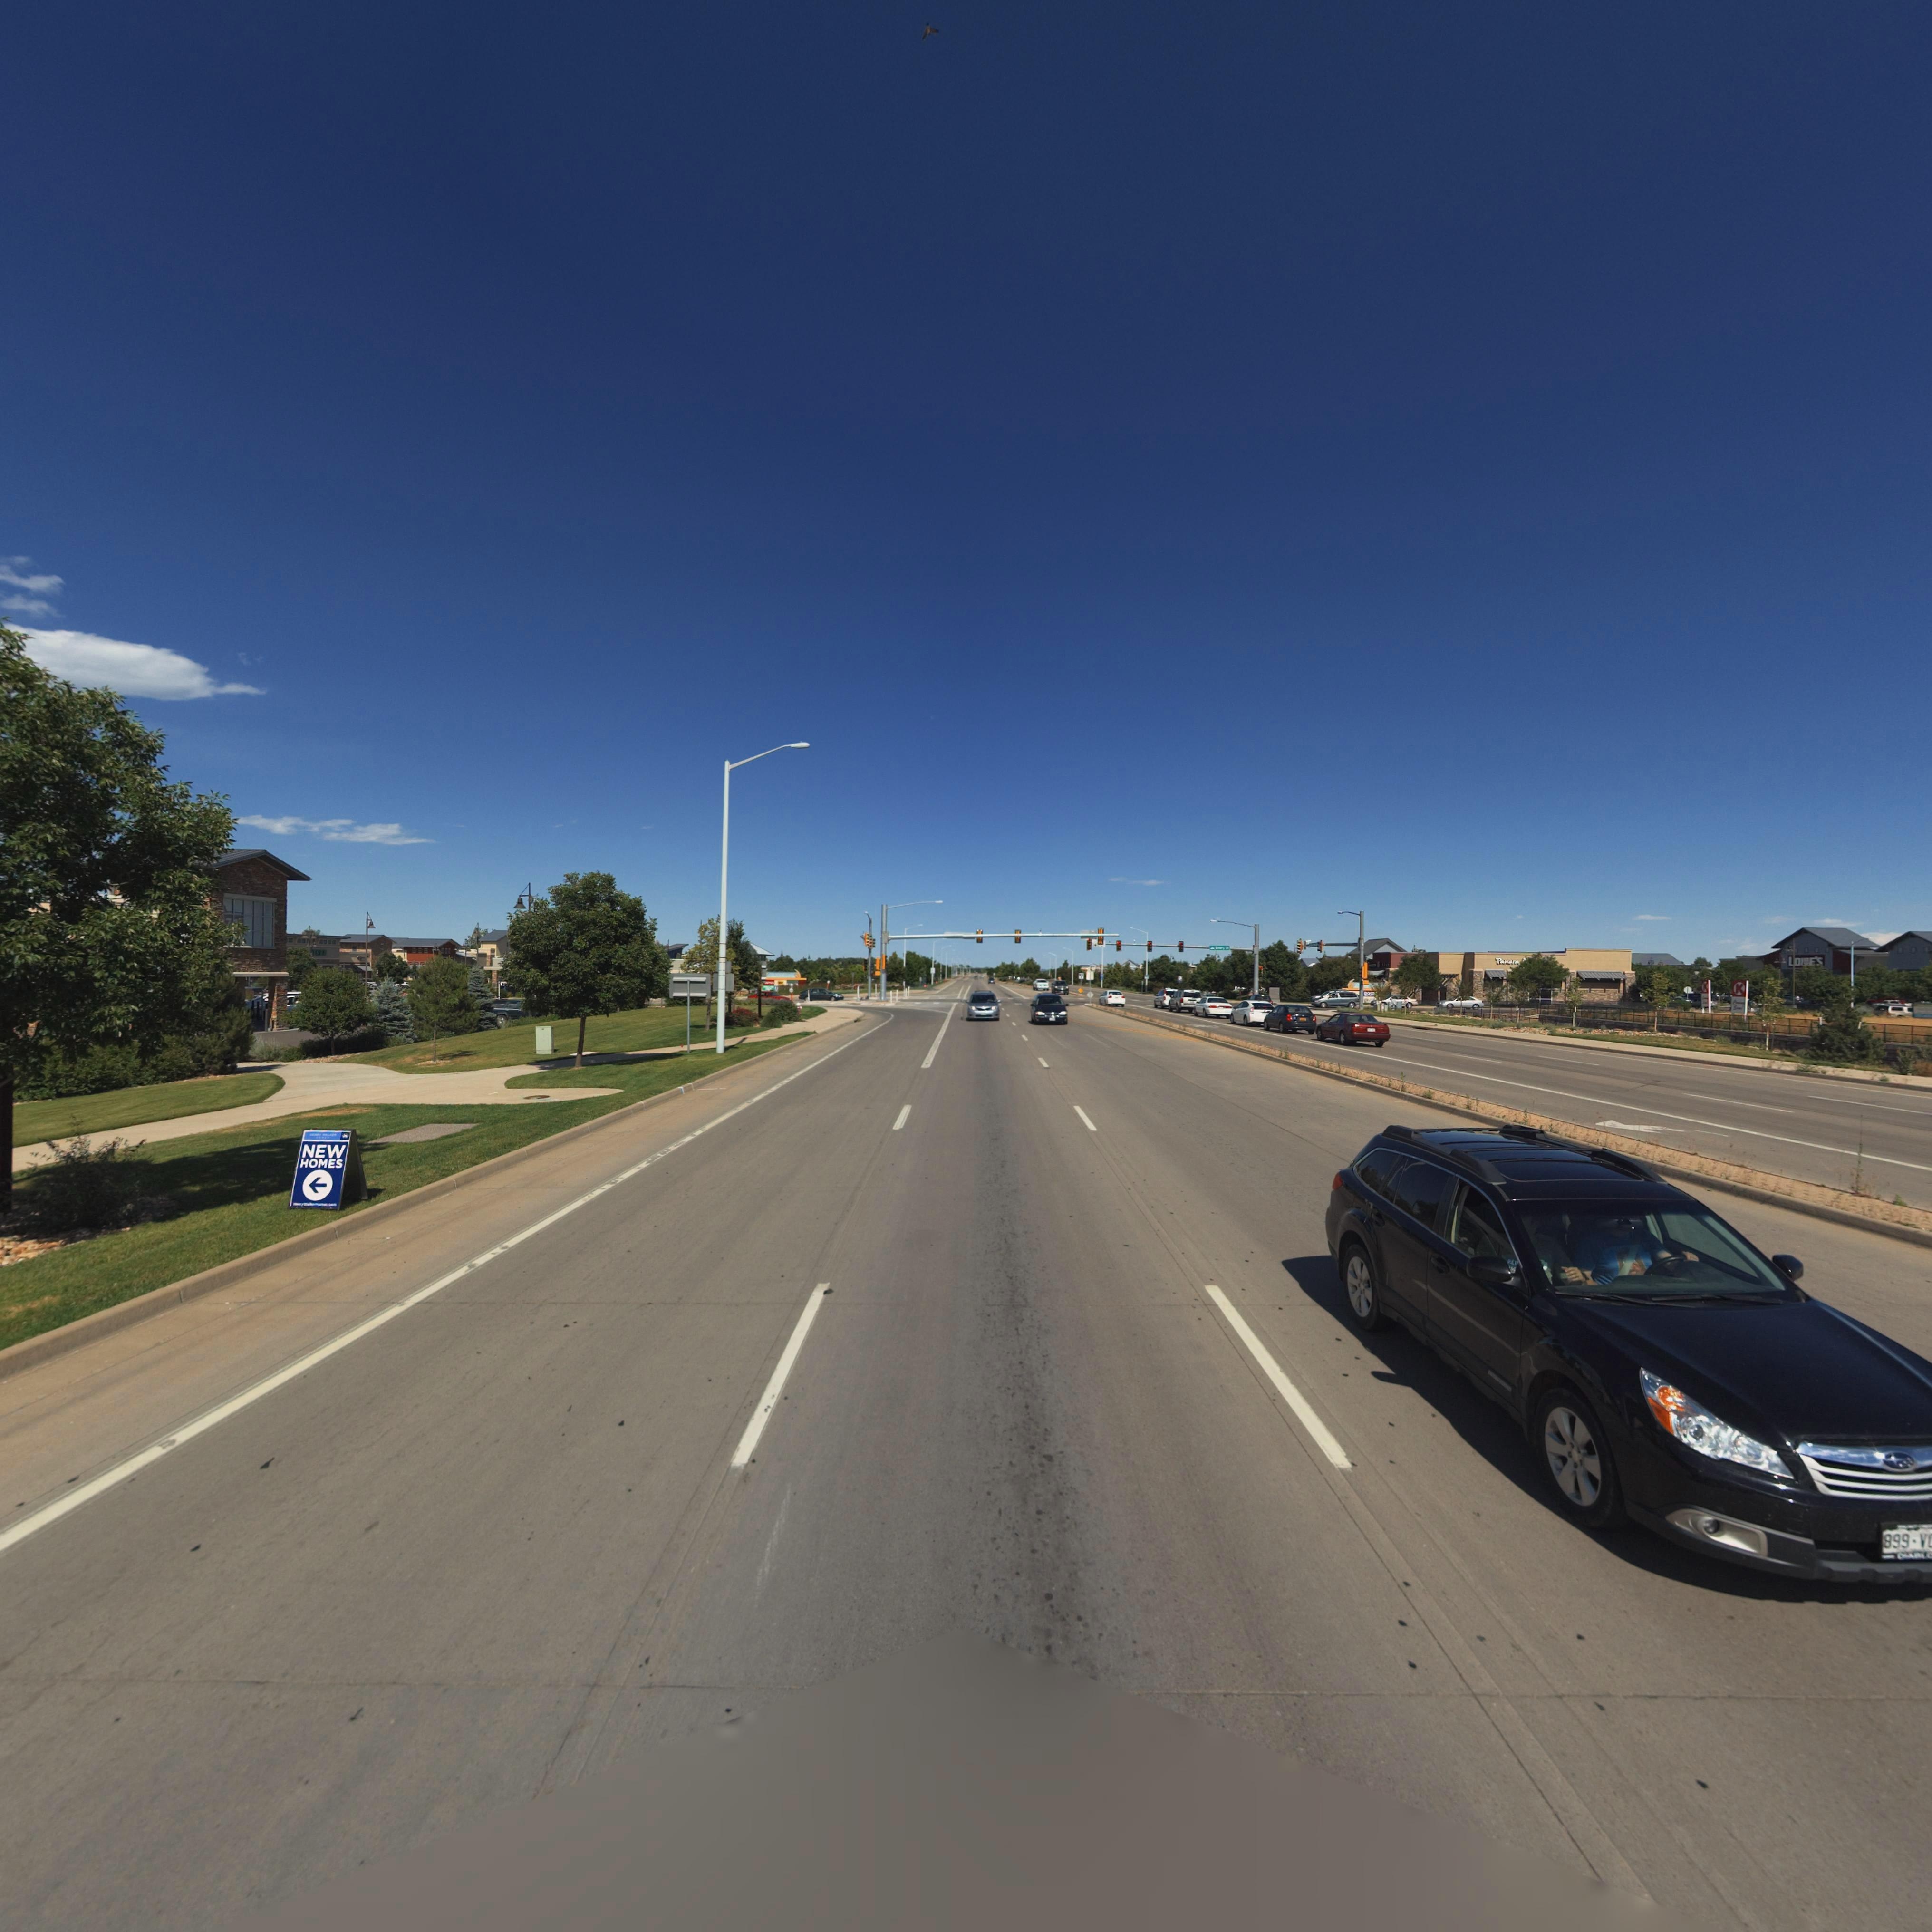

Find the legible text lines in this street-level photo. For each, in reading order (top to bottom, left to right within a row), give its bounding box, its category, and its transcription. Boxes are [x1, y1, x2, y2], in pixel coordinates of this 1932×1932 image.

[1495, 957, 1519, 964] BusinessName: Panera
[1787, 956, 1823, 966] BusinessName: LOWE'S
[1363, 991, 1375, 995] BusinessName: RO**